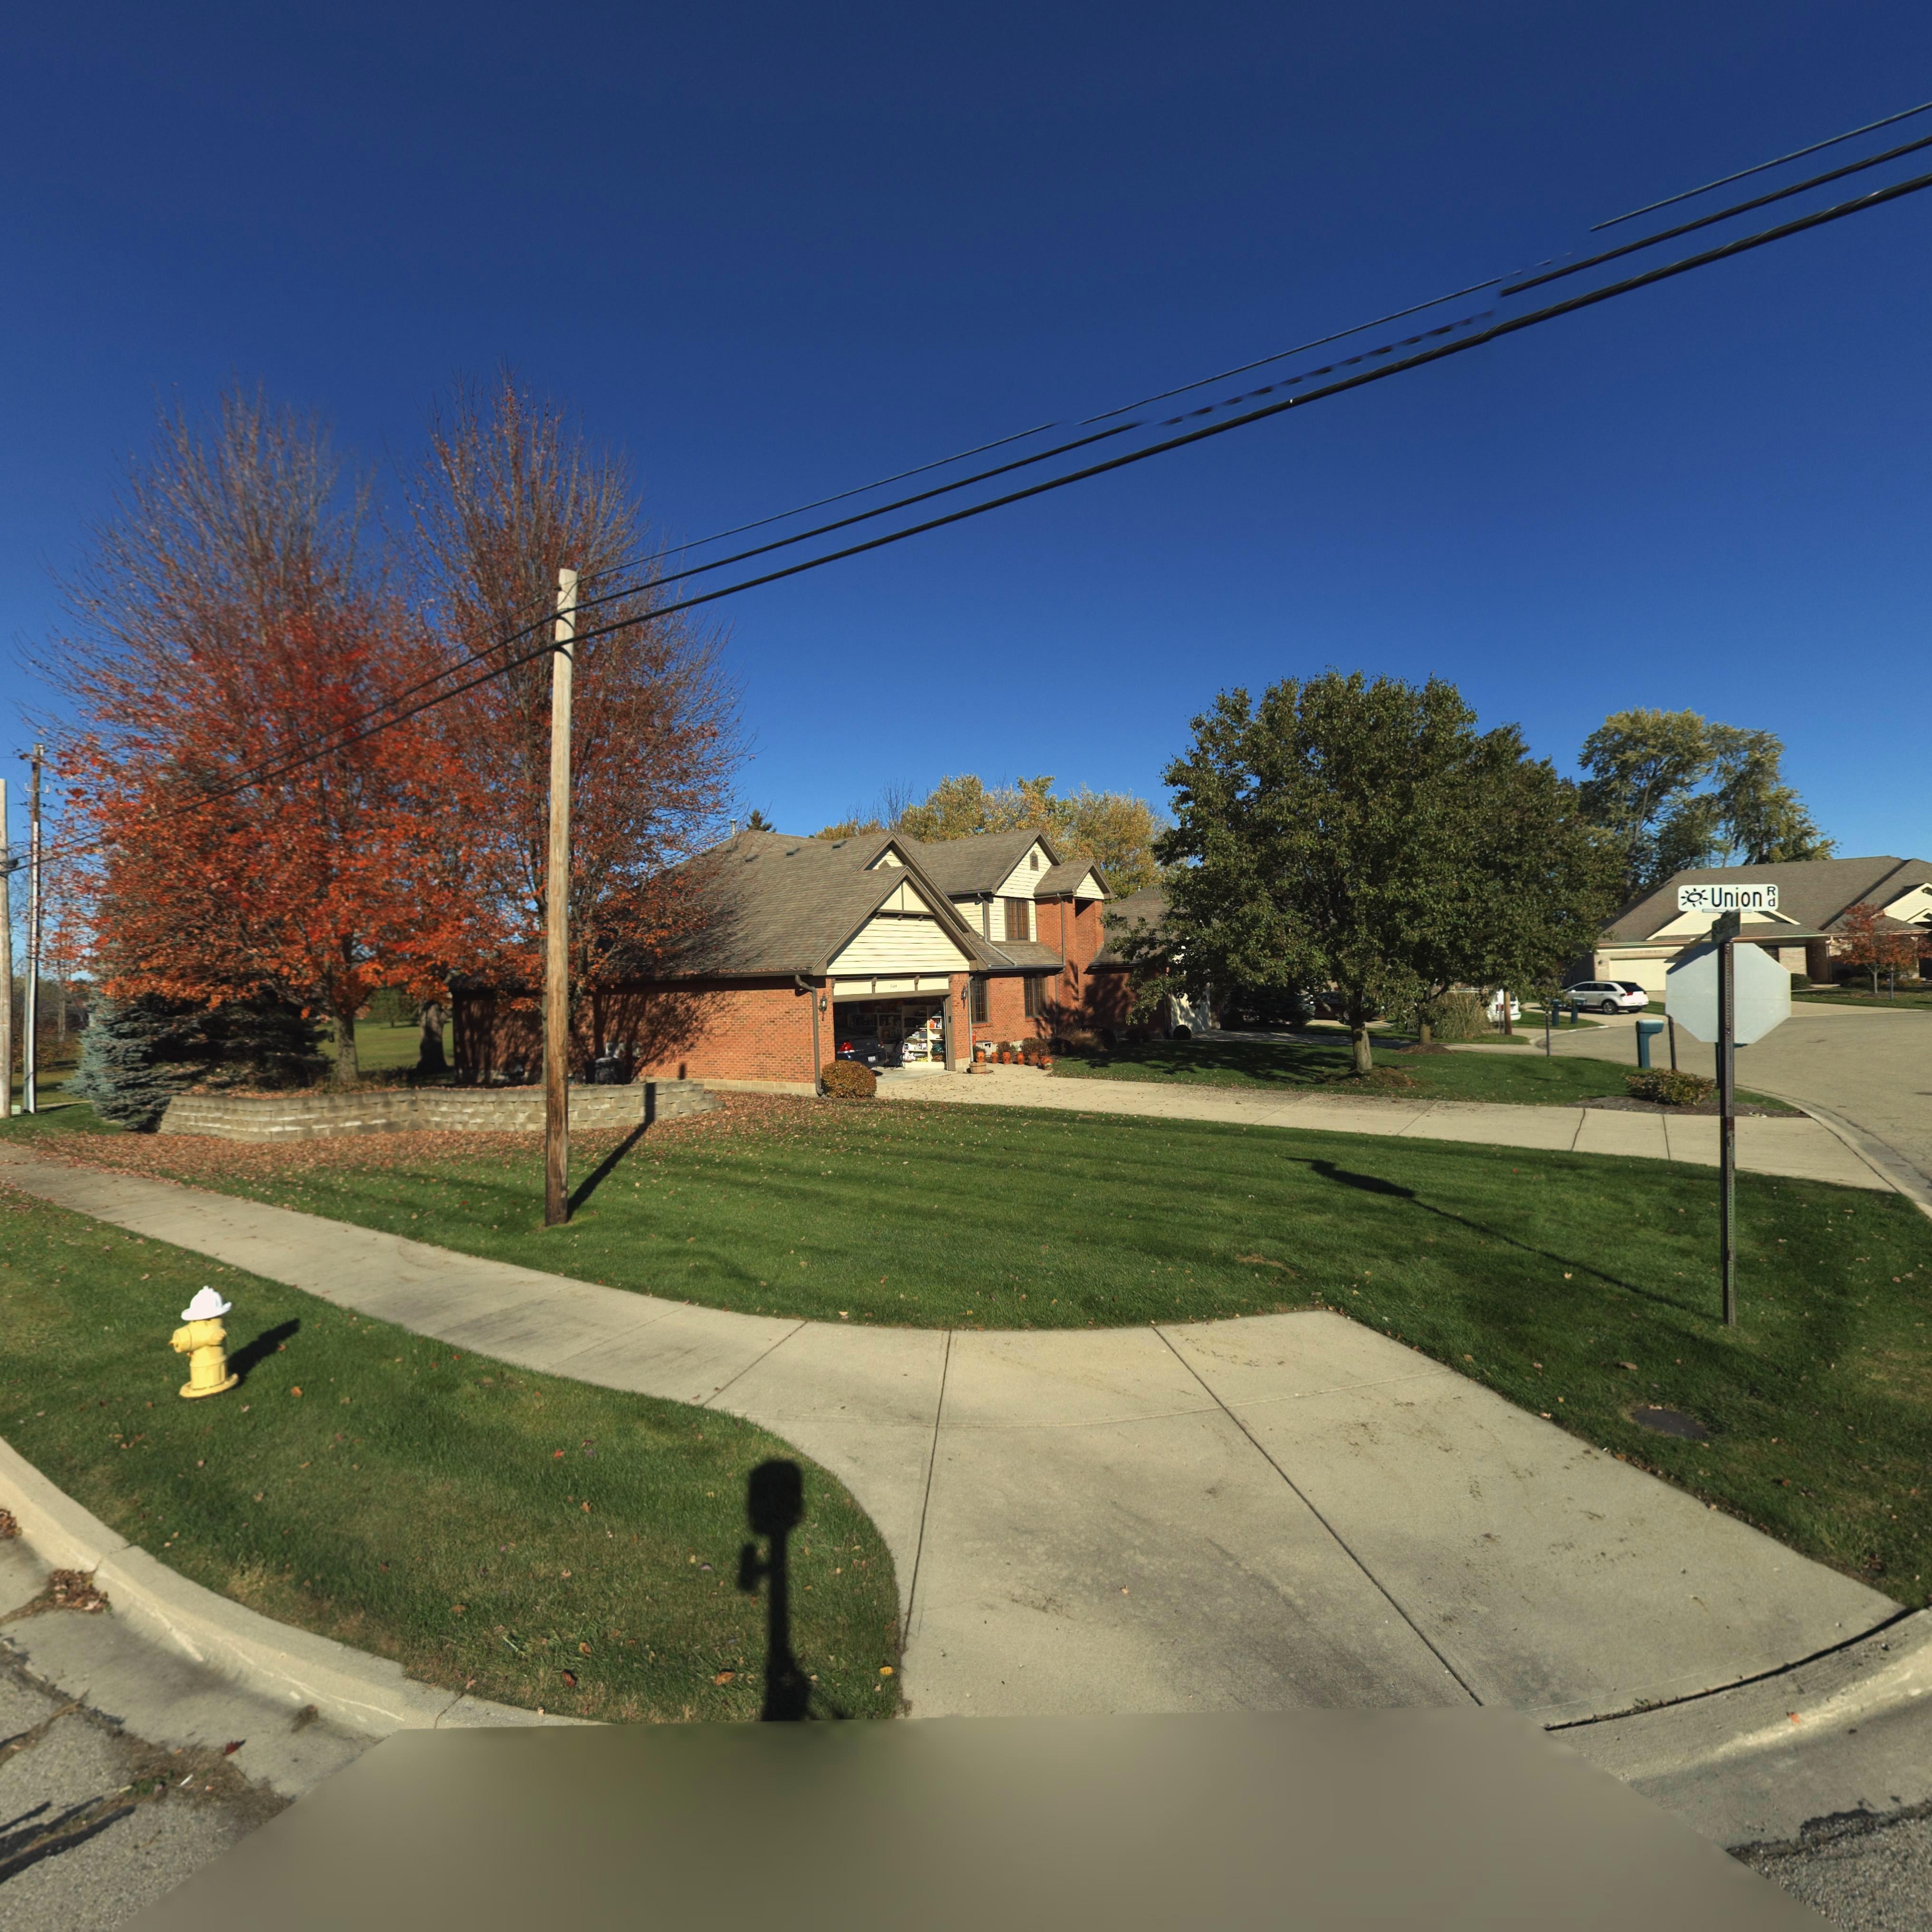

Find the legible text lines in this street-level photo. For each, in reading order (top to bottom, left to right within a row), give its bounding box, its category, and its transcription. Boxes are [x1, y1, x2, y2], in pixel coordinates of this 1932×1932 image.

[889, 984, 898, 988] StreetNumber: 716*